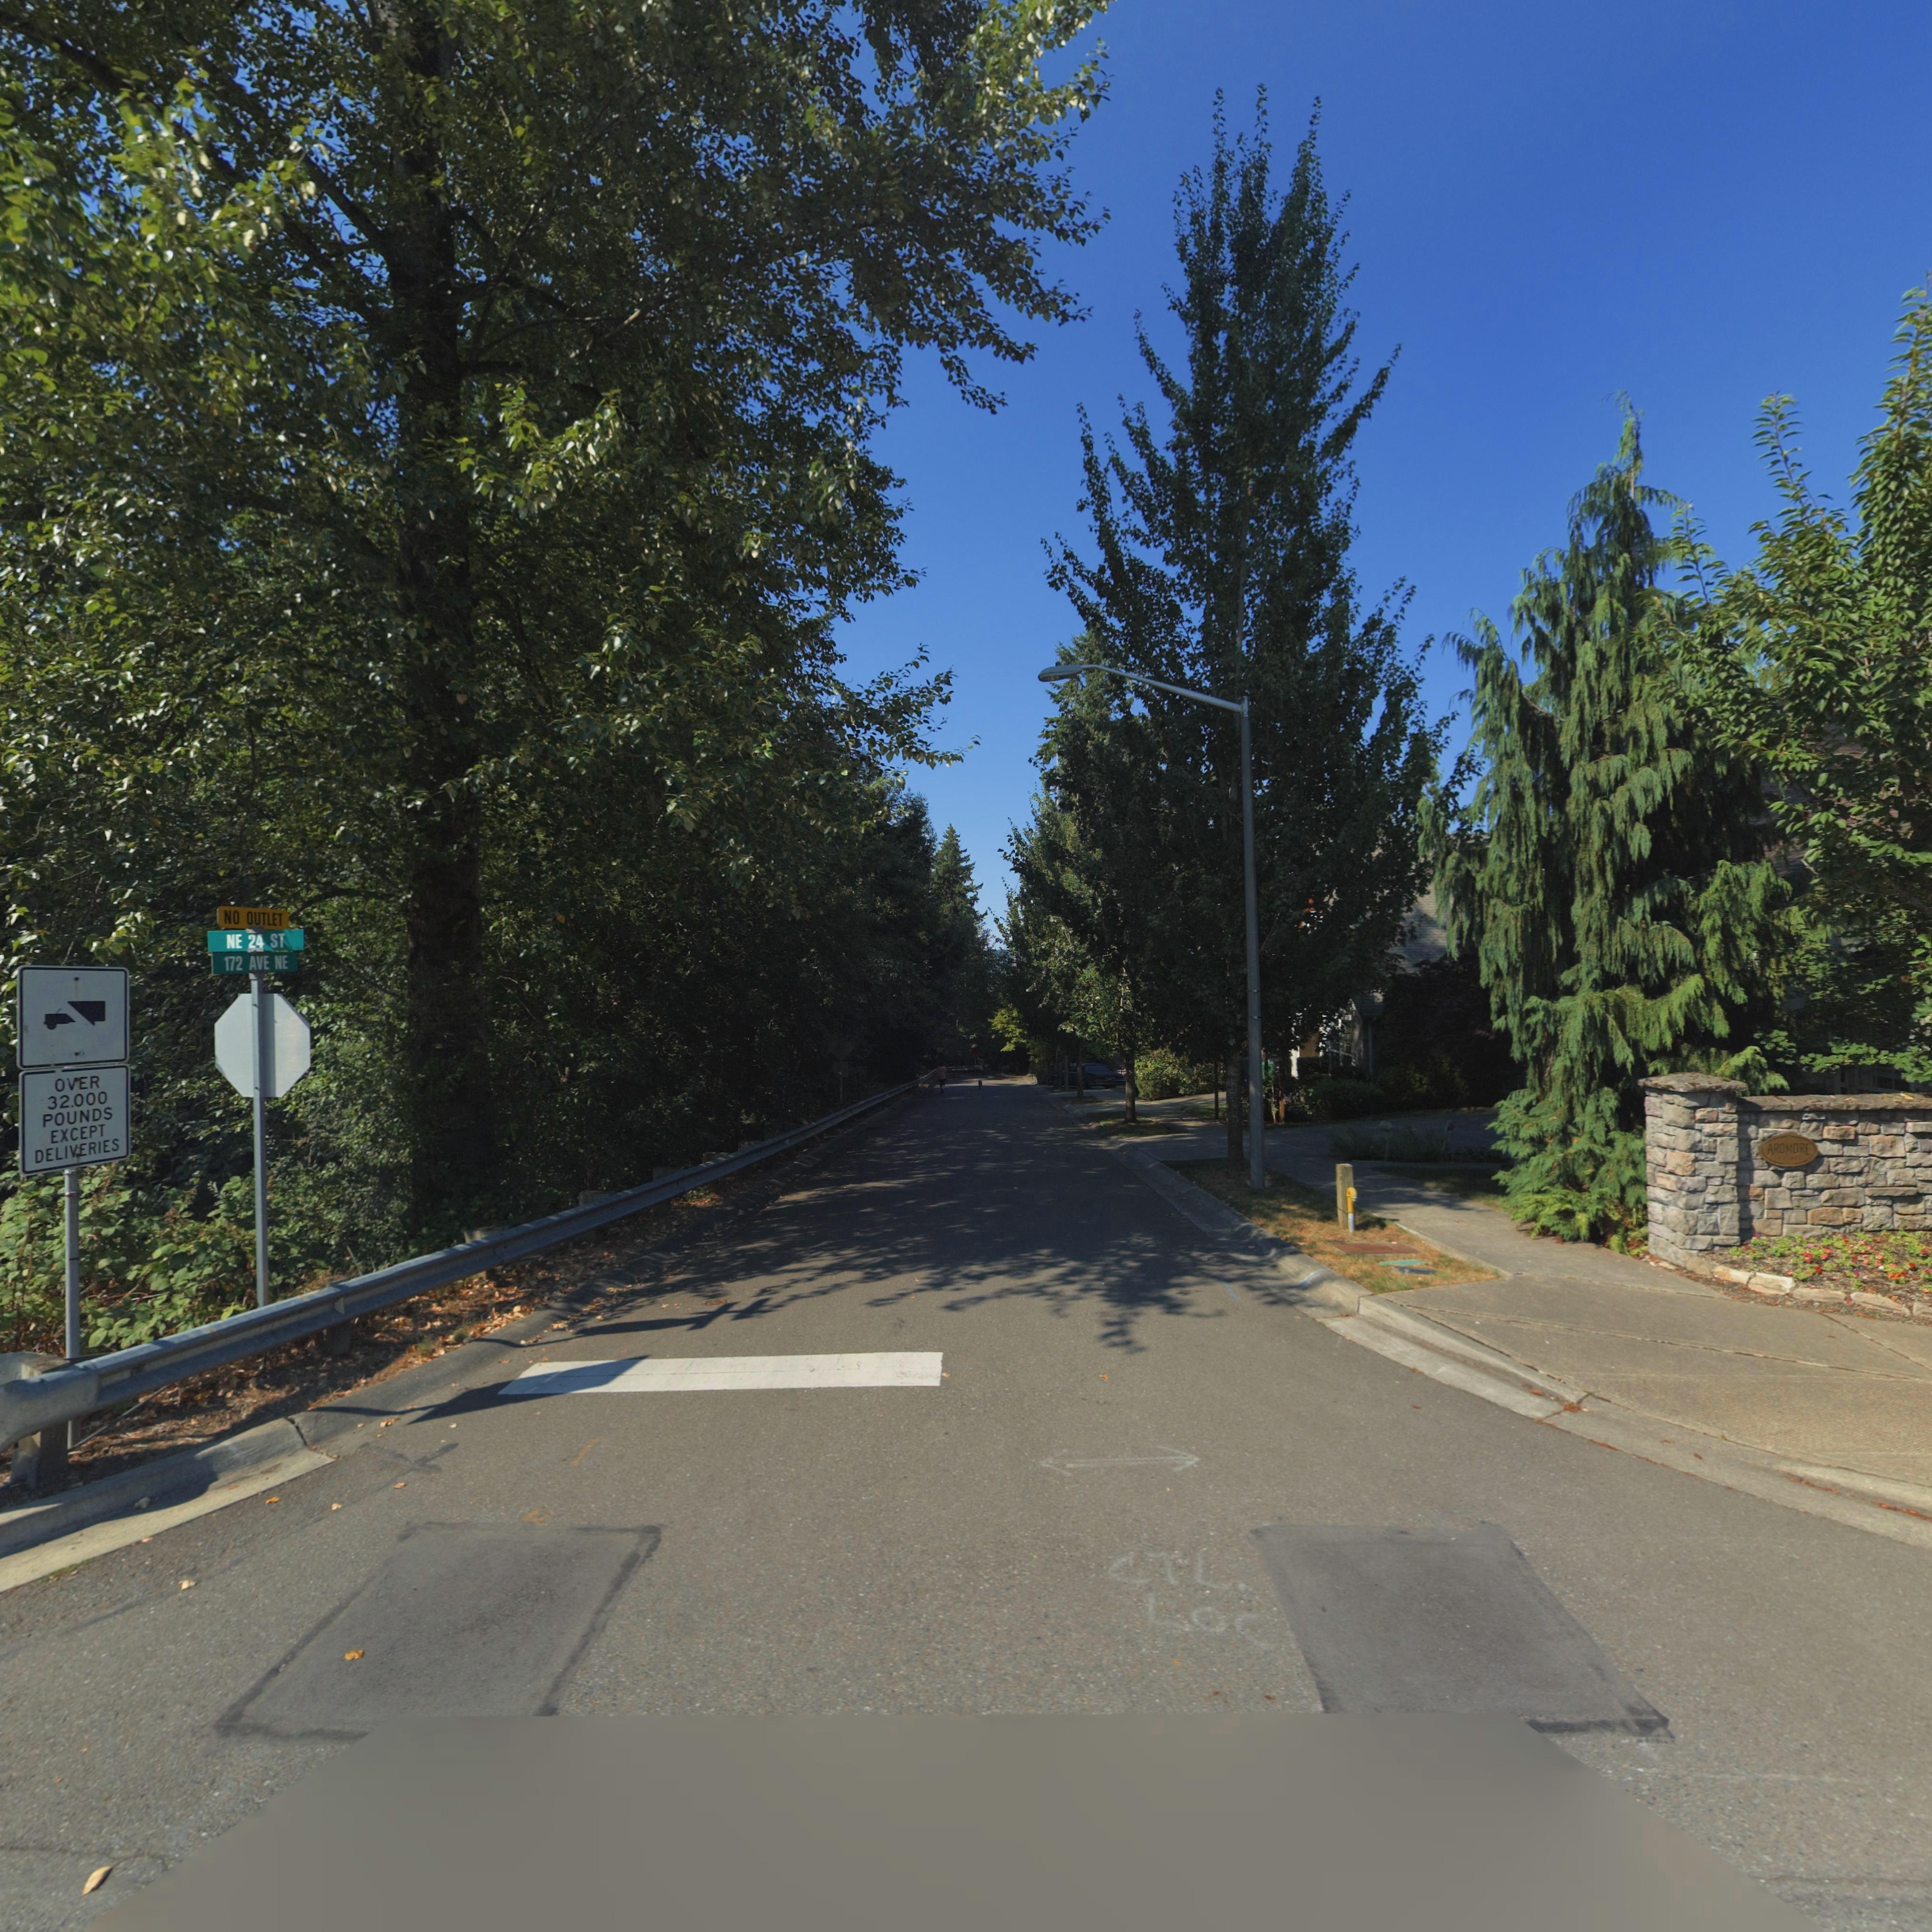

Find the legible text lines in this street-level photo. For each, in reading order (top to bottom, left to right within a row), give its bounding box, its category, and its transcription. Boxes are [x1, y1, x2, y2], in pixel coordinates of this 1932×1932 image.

[226, 932, 286, 949] StreetName: NE 24 ST
[223, 954, 289, 971] StreetName: 172 AVE NE